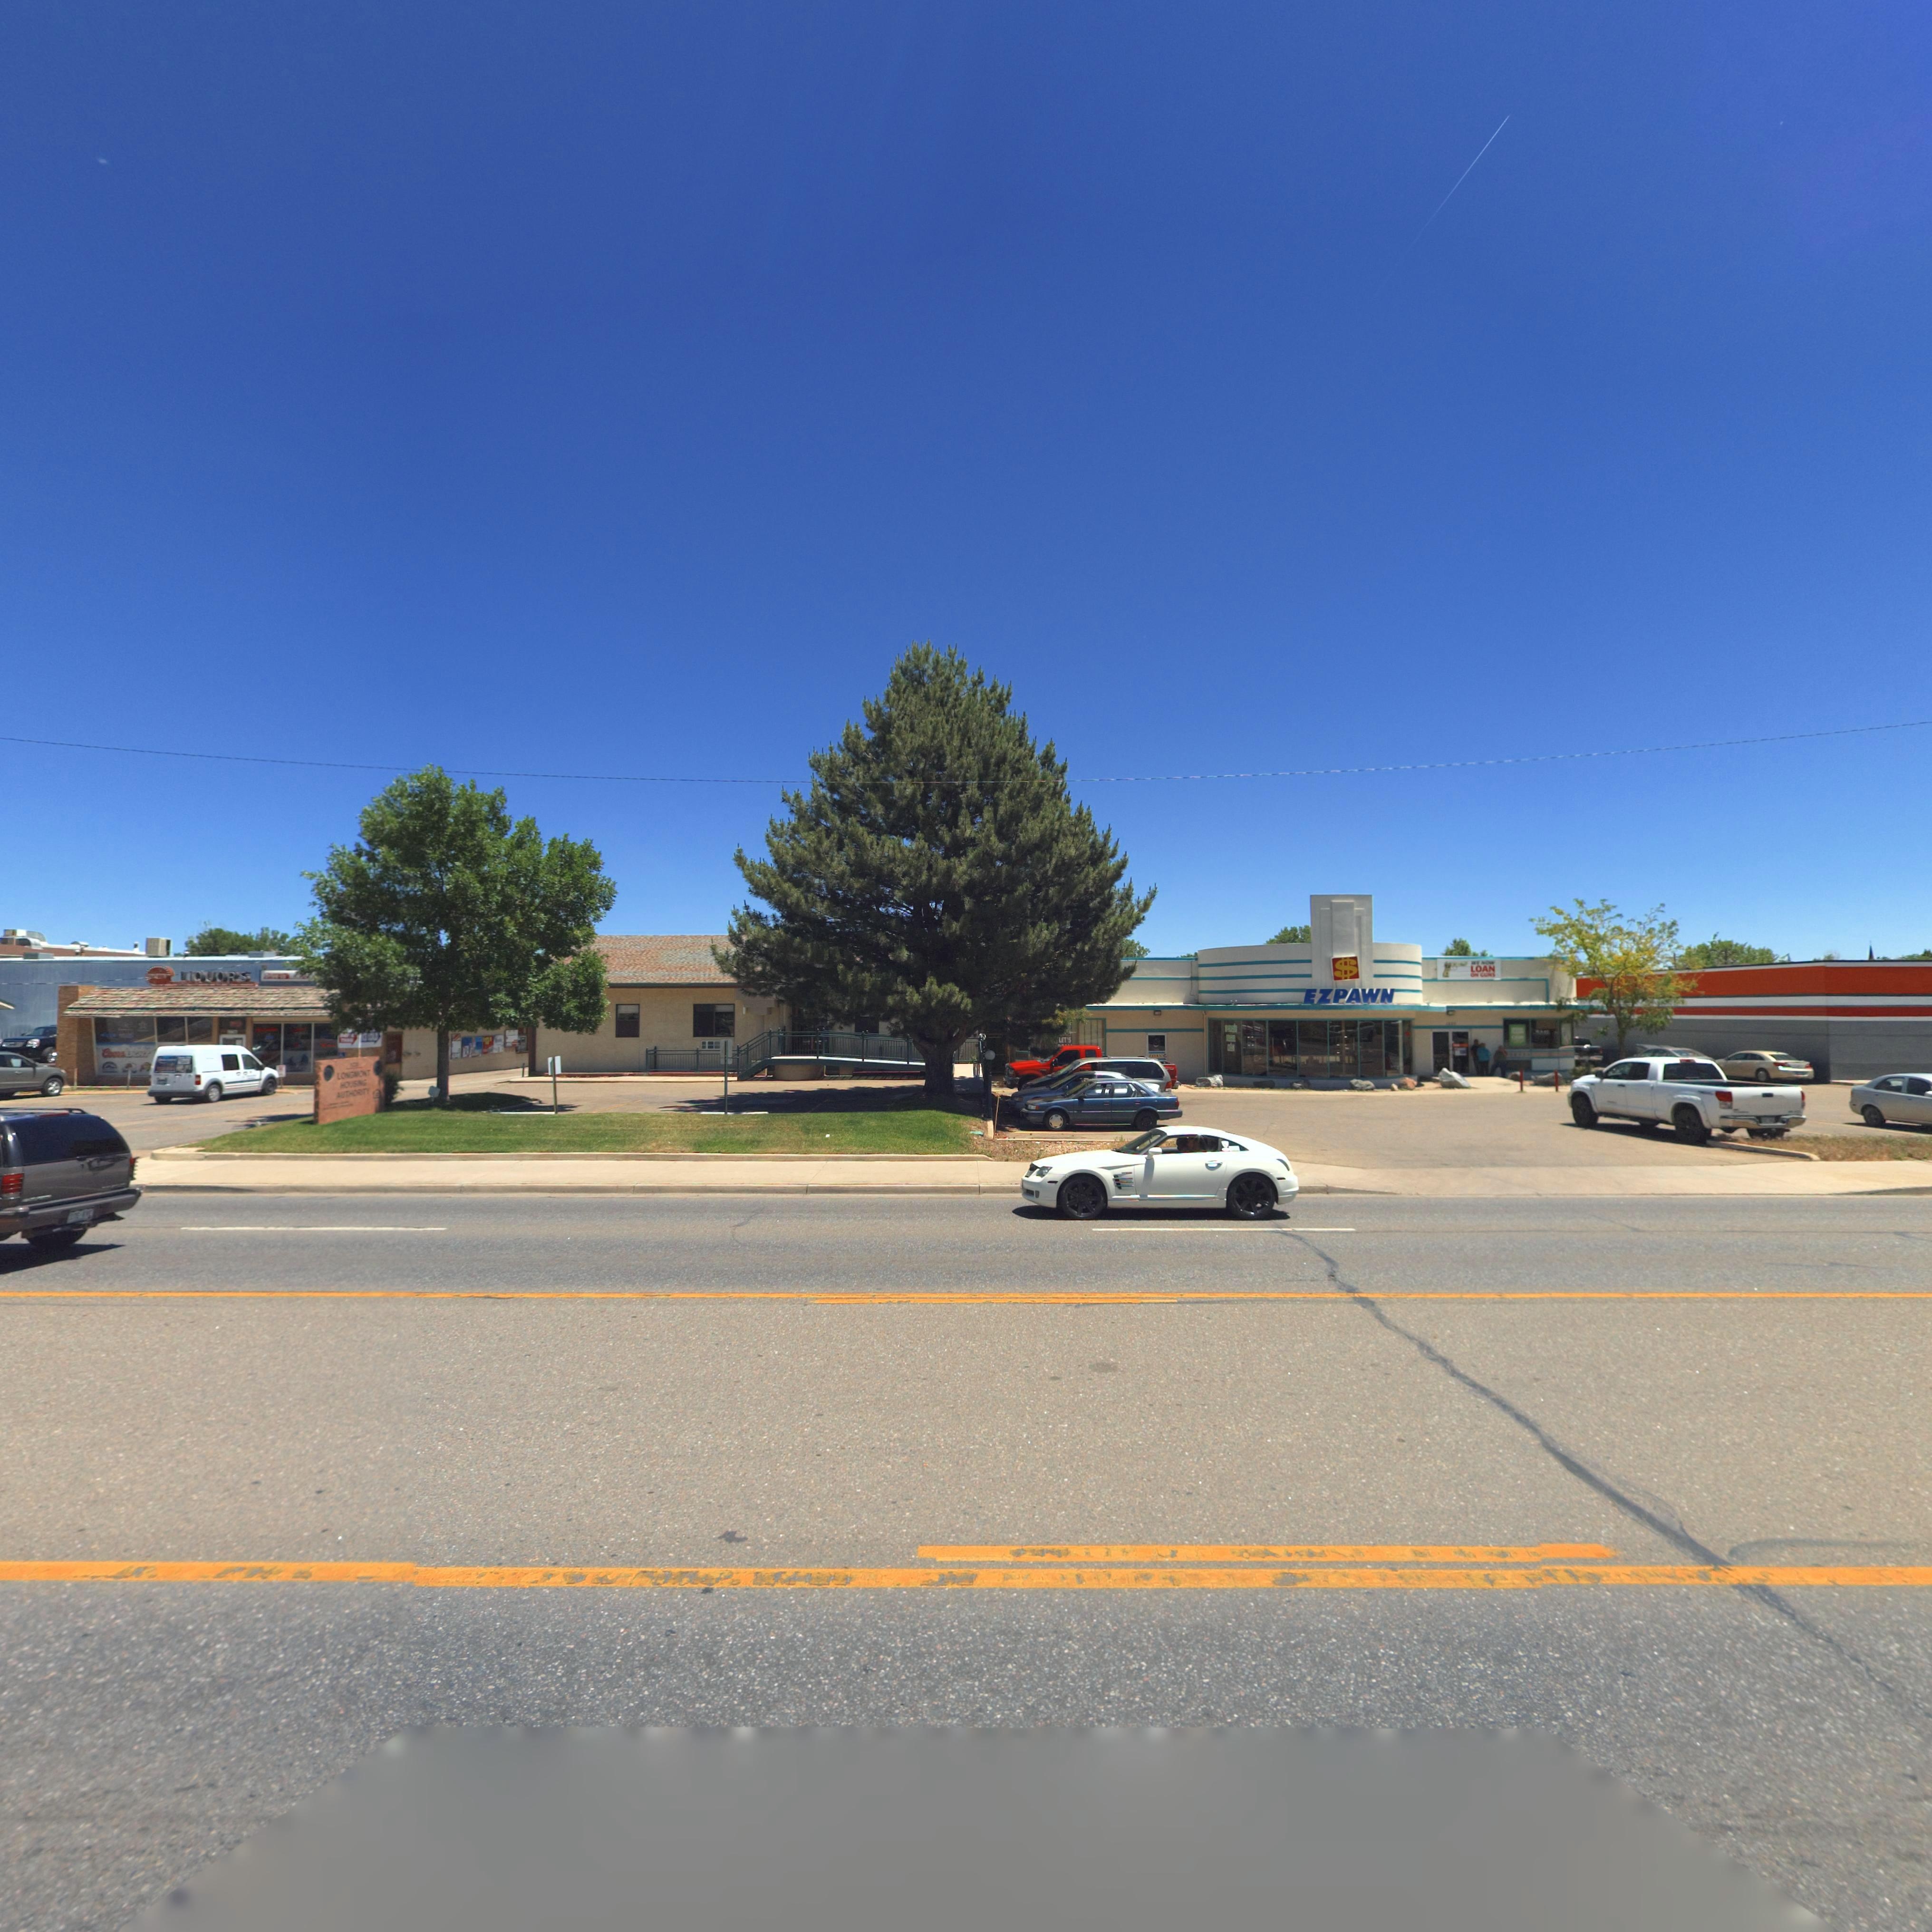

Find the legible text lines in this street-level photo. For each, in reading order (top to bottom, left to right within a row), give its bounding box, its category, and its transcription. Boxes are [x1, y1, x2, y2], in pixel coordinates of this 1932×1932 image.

[1303, 988, 1395, 1004] BusinessName: EZPAWN
[1445, 1021, 1457, 1025] StreetNumber: 12**
[336, 1069, 371, 1080] BusinessName: LONGMONT
[339, 1078, 367, 1090] BusinessName: HOUSING
[336, 1087, 371, 1099] BusinessName: AUTHORITY